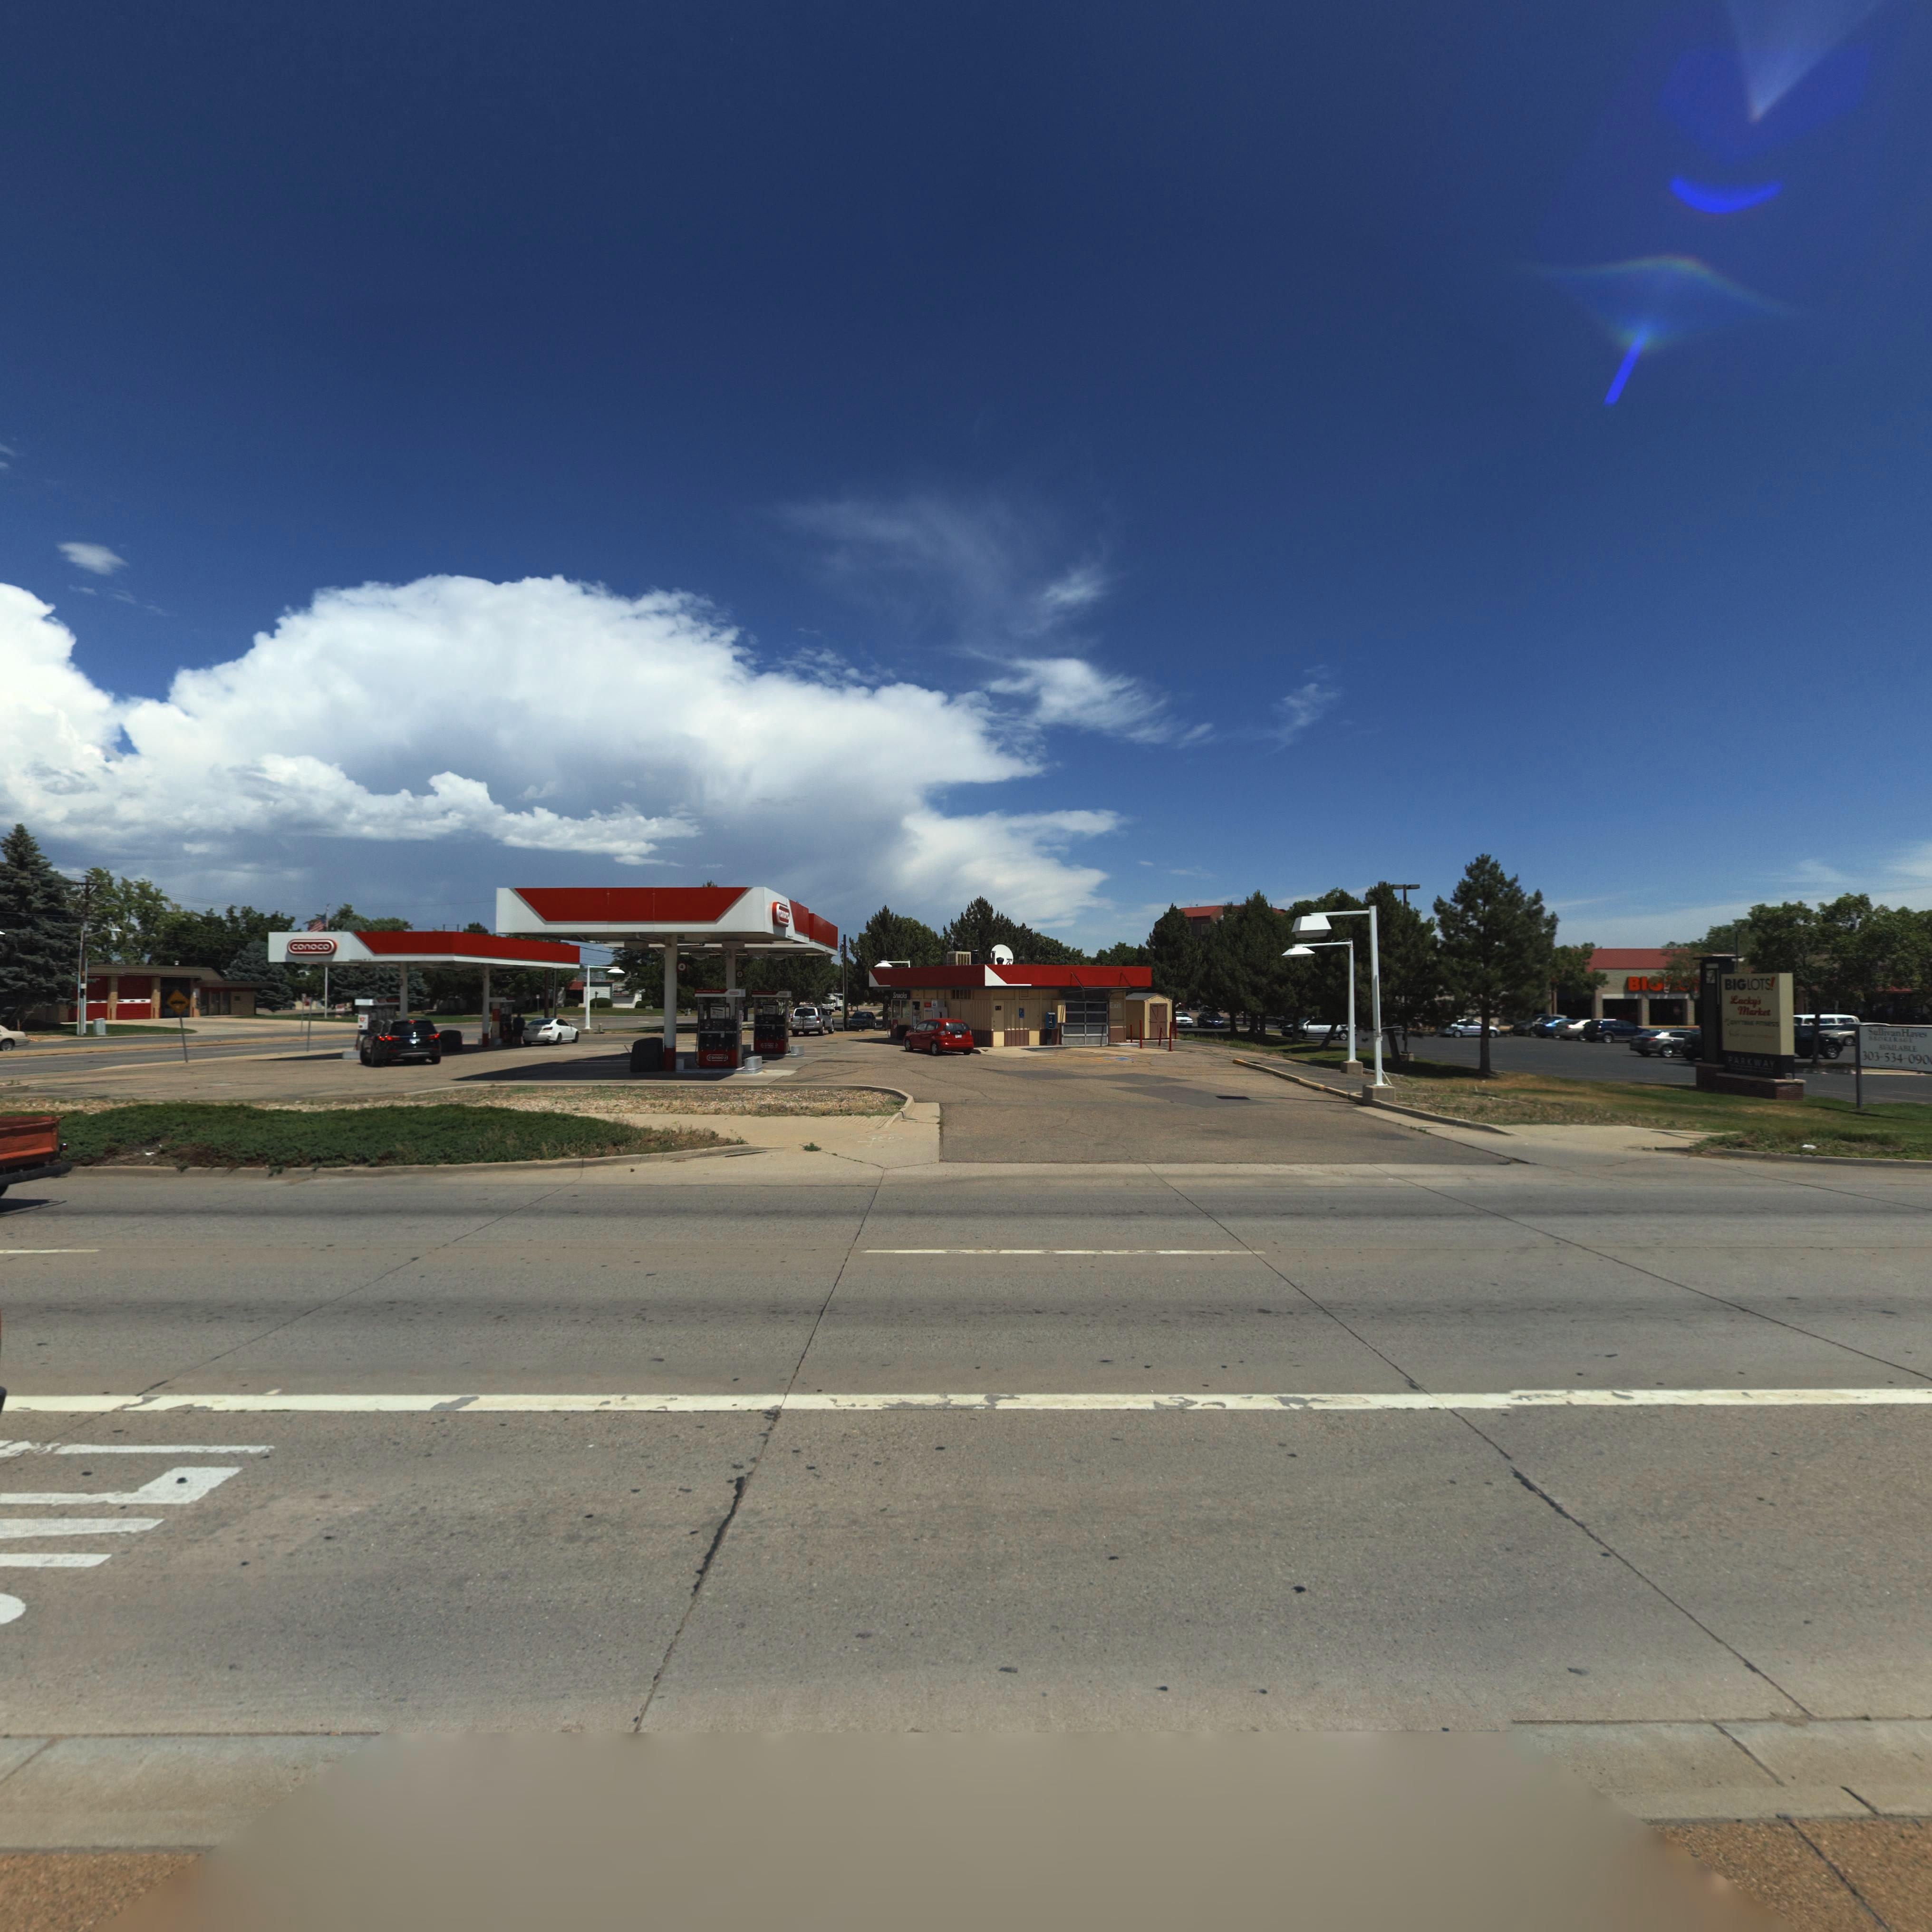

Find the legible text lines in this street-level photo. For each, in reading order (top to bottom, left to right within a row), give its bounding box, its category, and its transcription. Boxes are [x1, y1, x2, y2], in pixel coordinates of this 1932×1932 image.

[291, 943, 329, 950] BusinessName: conoco
[1627, 976, 1649, 991] BusinessName: BI
[1724, 976, 1776, 991] BusinessName: BIG LOTS!
[1729, 994, 1761, 1008] BusinessName: Lucky's
[1737, 1005, 1772, 1016] BusinessName: Market
[1729, 1019, 1780, 1028] BusinessName: **YT*** F**NESS
[708, 1056, 726, 1059] BusinessName: con***